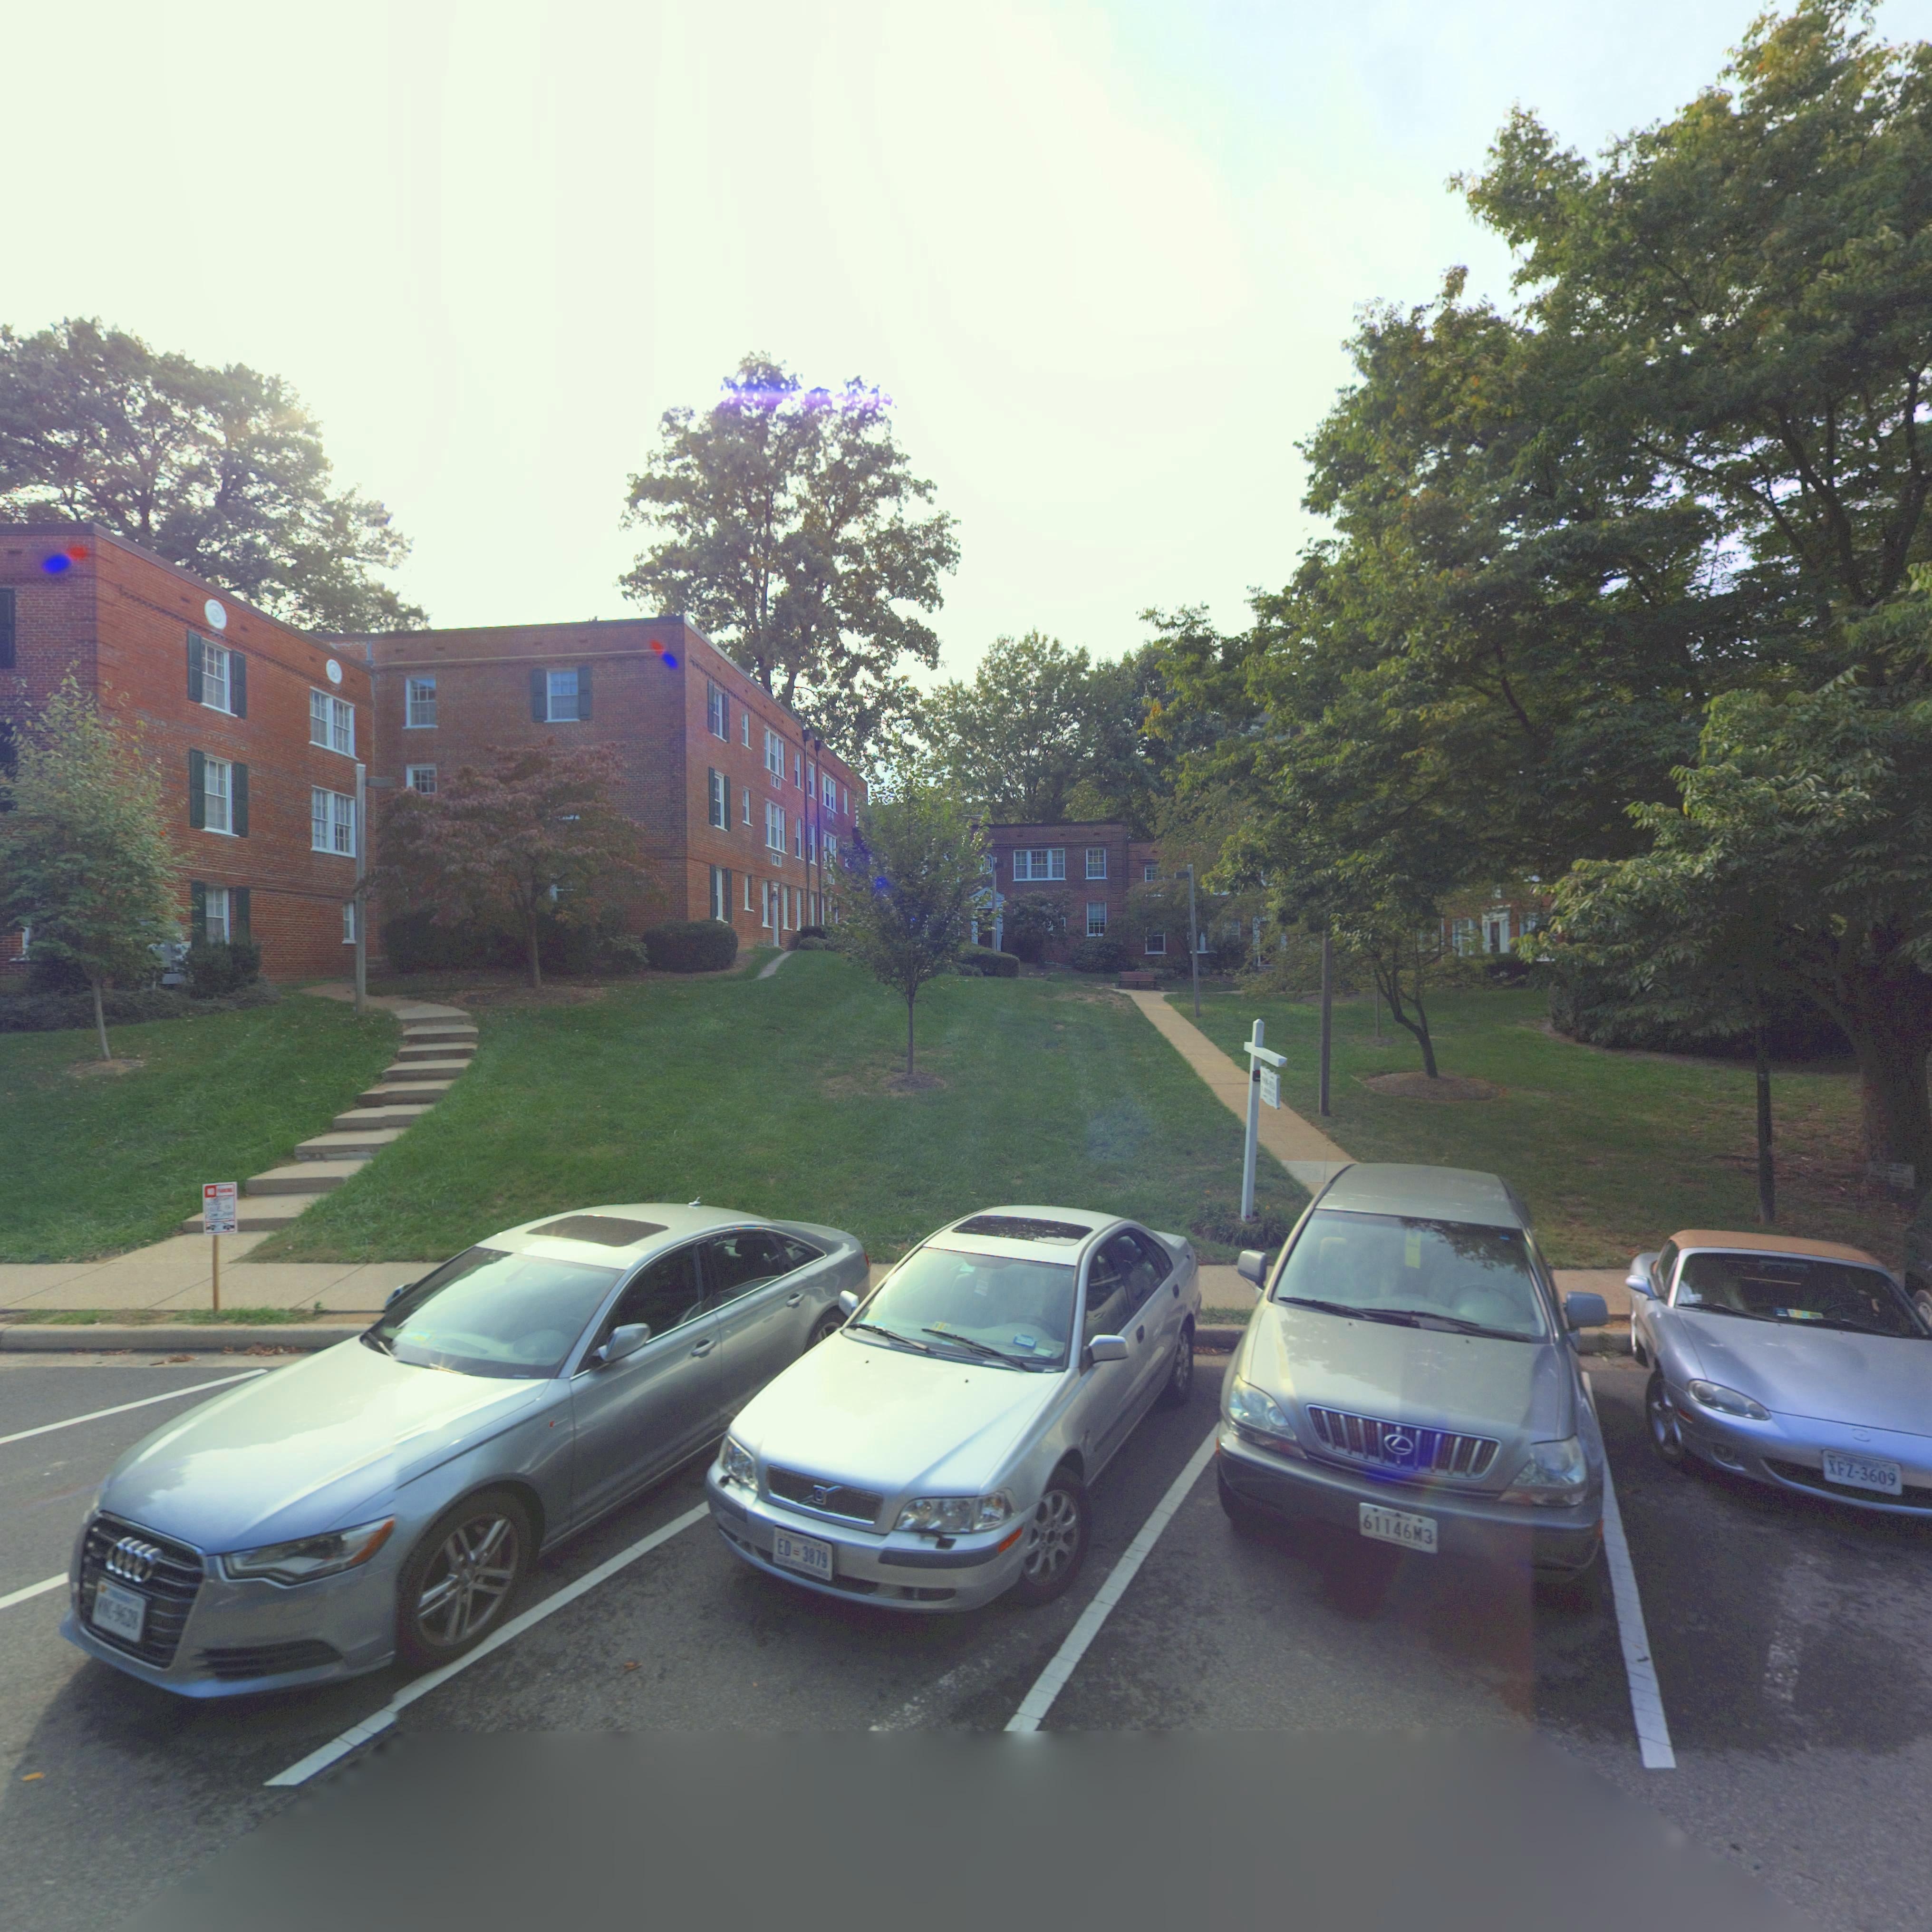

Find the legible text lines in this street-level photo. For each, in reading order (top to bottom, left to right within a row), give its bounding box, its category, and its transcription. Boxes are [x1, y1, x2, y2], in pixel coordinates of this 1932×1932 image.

[1826, 1456, 1900, 1490] None: XFZ-3609
[1362, 1511, 1435, 1548] None: 61146M3
[775, 1535, 829, 1572] None: ED* 3879